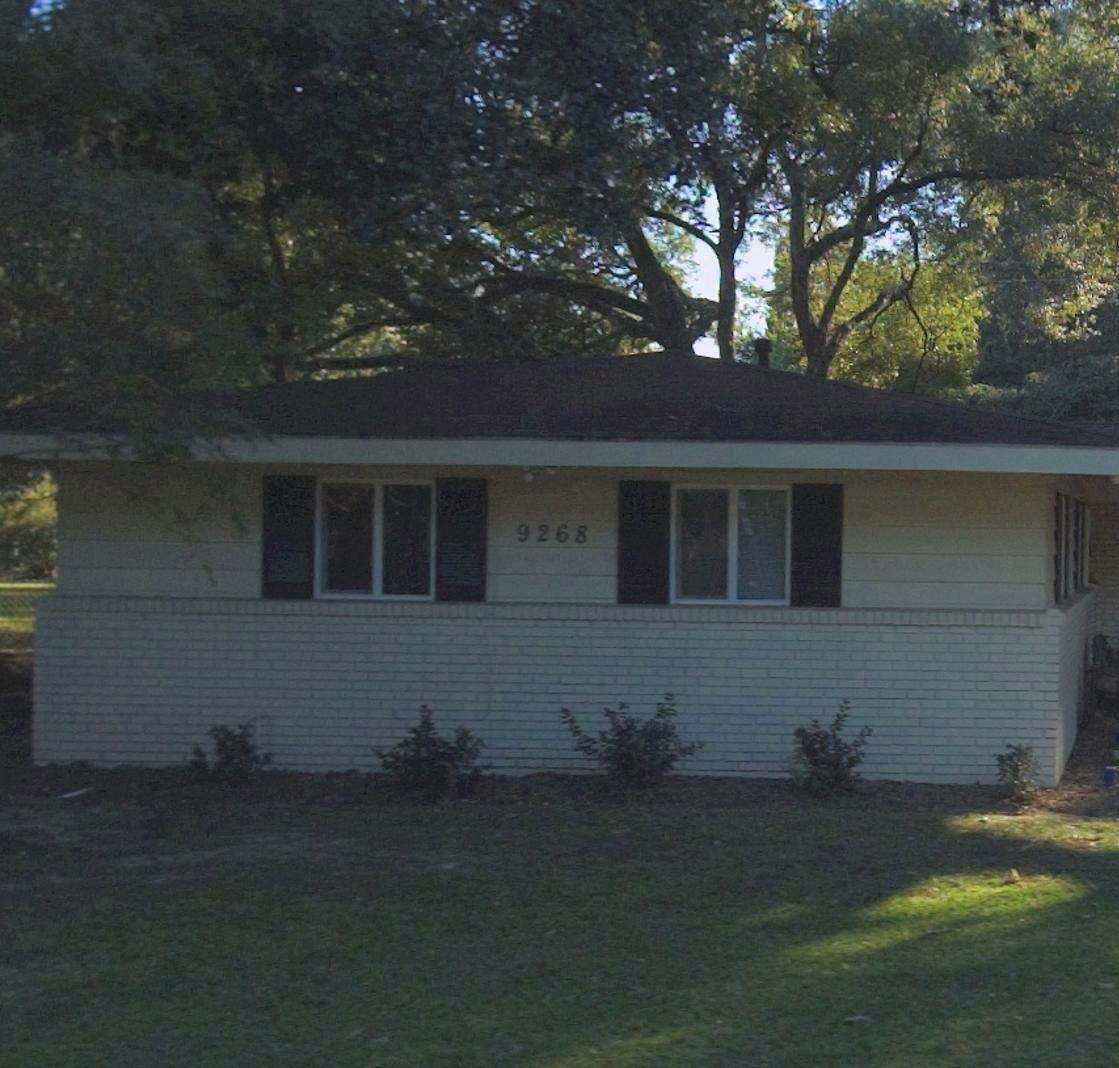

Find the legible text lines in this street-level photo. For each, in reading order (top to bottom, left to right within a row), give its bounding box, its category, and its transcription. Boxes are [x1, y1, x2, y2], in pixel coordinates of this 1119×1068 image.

[516, 523, 588, 544] StreetNumber: 9268